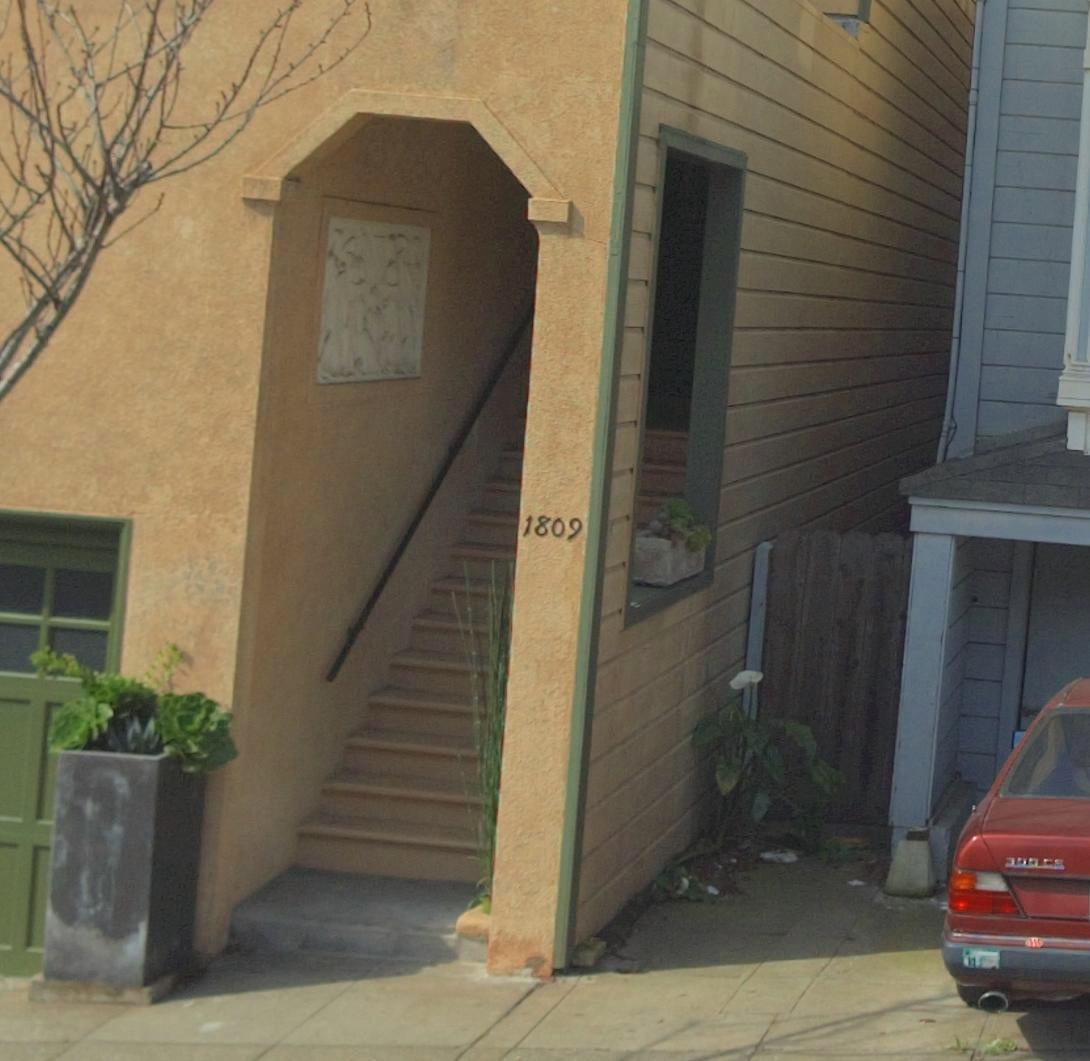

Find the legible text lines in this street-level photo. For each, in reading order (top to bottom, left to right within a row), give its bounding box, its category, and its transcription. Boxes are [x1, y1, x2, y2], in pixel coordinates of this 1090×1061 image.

[518, 511, 585, 544] StreetNumber: 1809